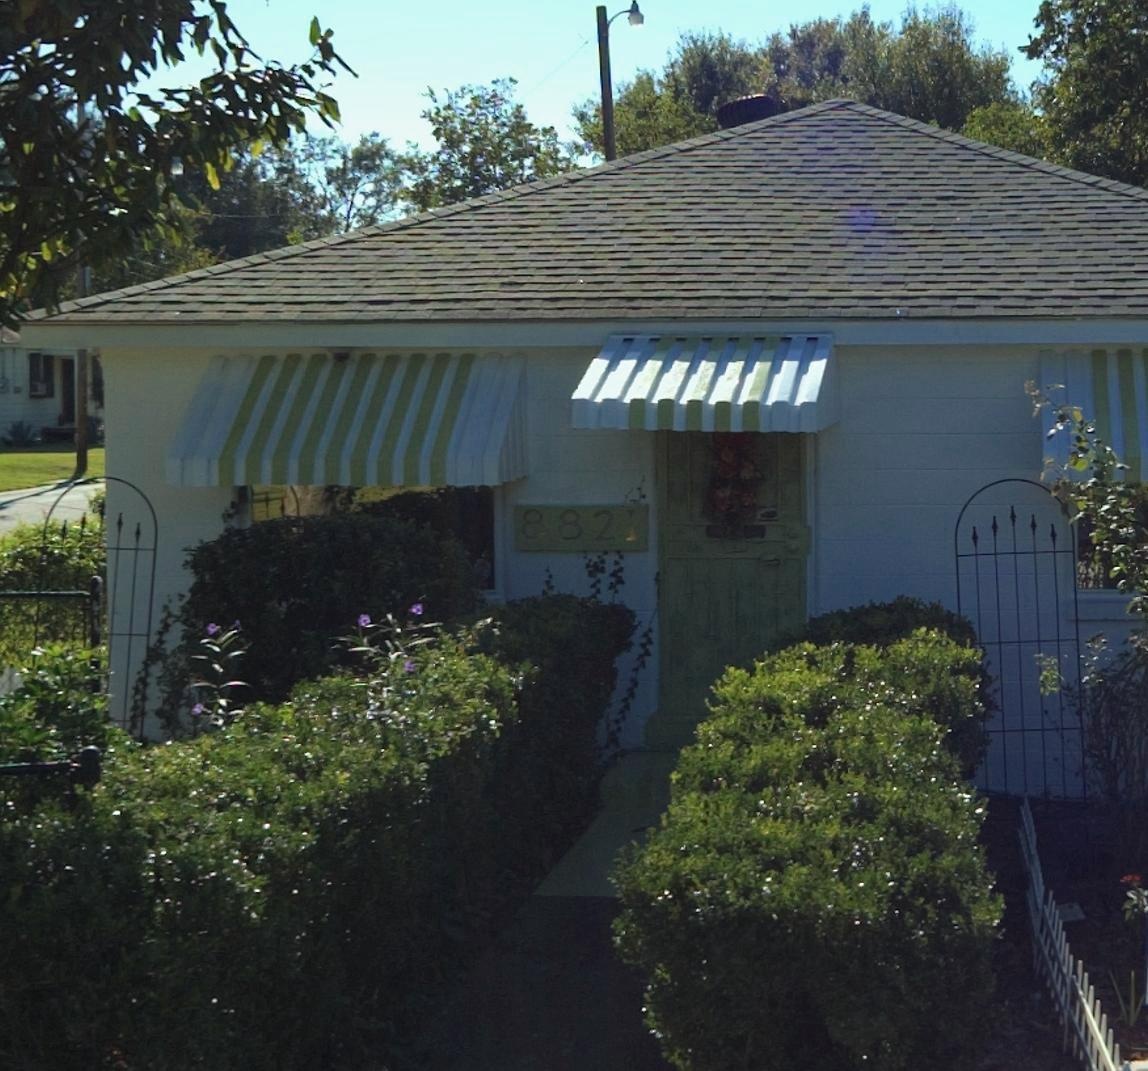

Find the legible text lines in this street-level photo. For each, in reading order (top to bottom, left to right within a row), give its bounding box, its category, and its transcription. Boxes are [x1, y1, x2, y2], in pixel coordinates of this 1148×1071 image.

[517, 506, 640, 544] StreetNumber: 8821